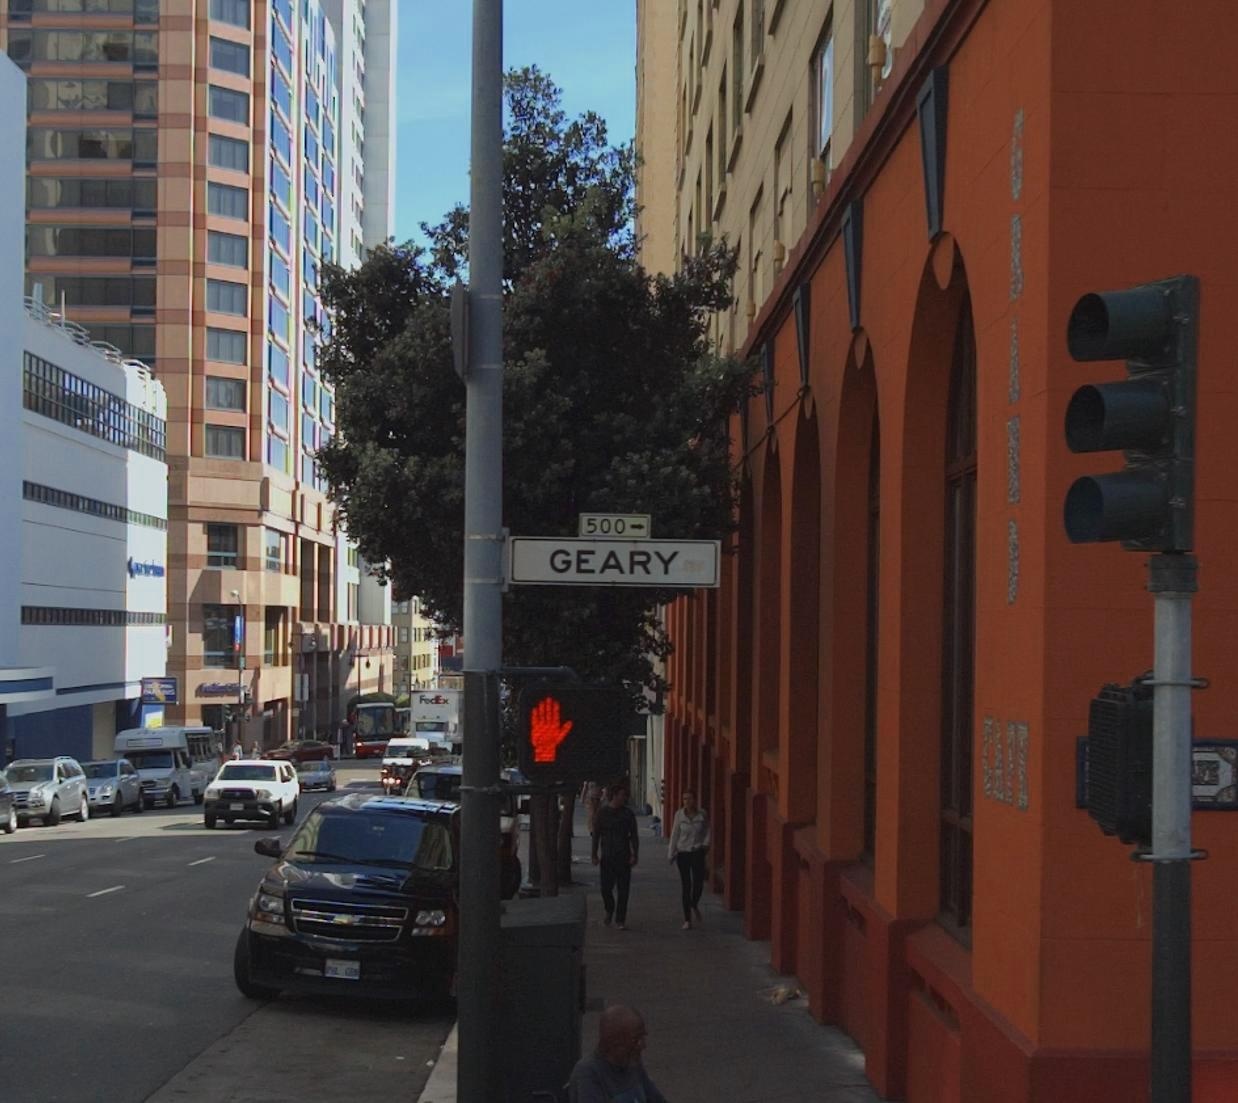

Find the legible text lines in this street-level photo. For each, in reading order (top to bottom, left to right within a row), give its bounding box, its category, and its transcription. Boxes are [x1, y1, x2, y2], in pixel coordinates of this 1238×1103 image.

[584, 515, 649, 538] StreetNumberRange: 500->
[546, 547, 684, 577] StreetName: GEARY